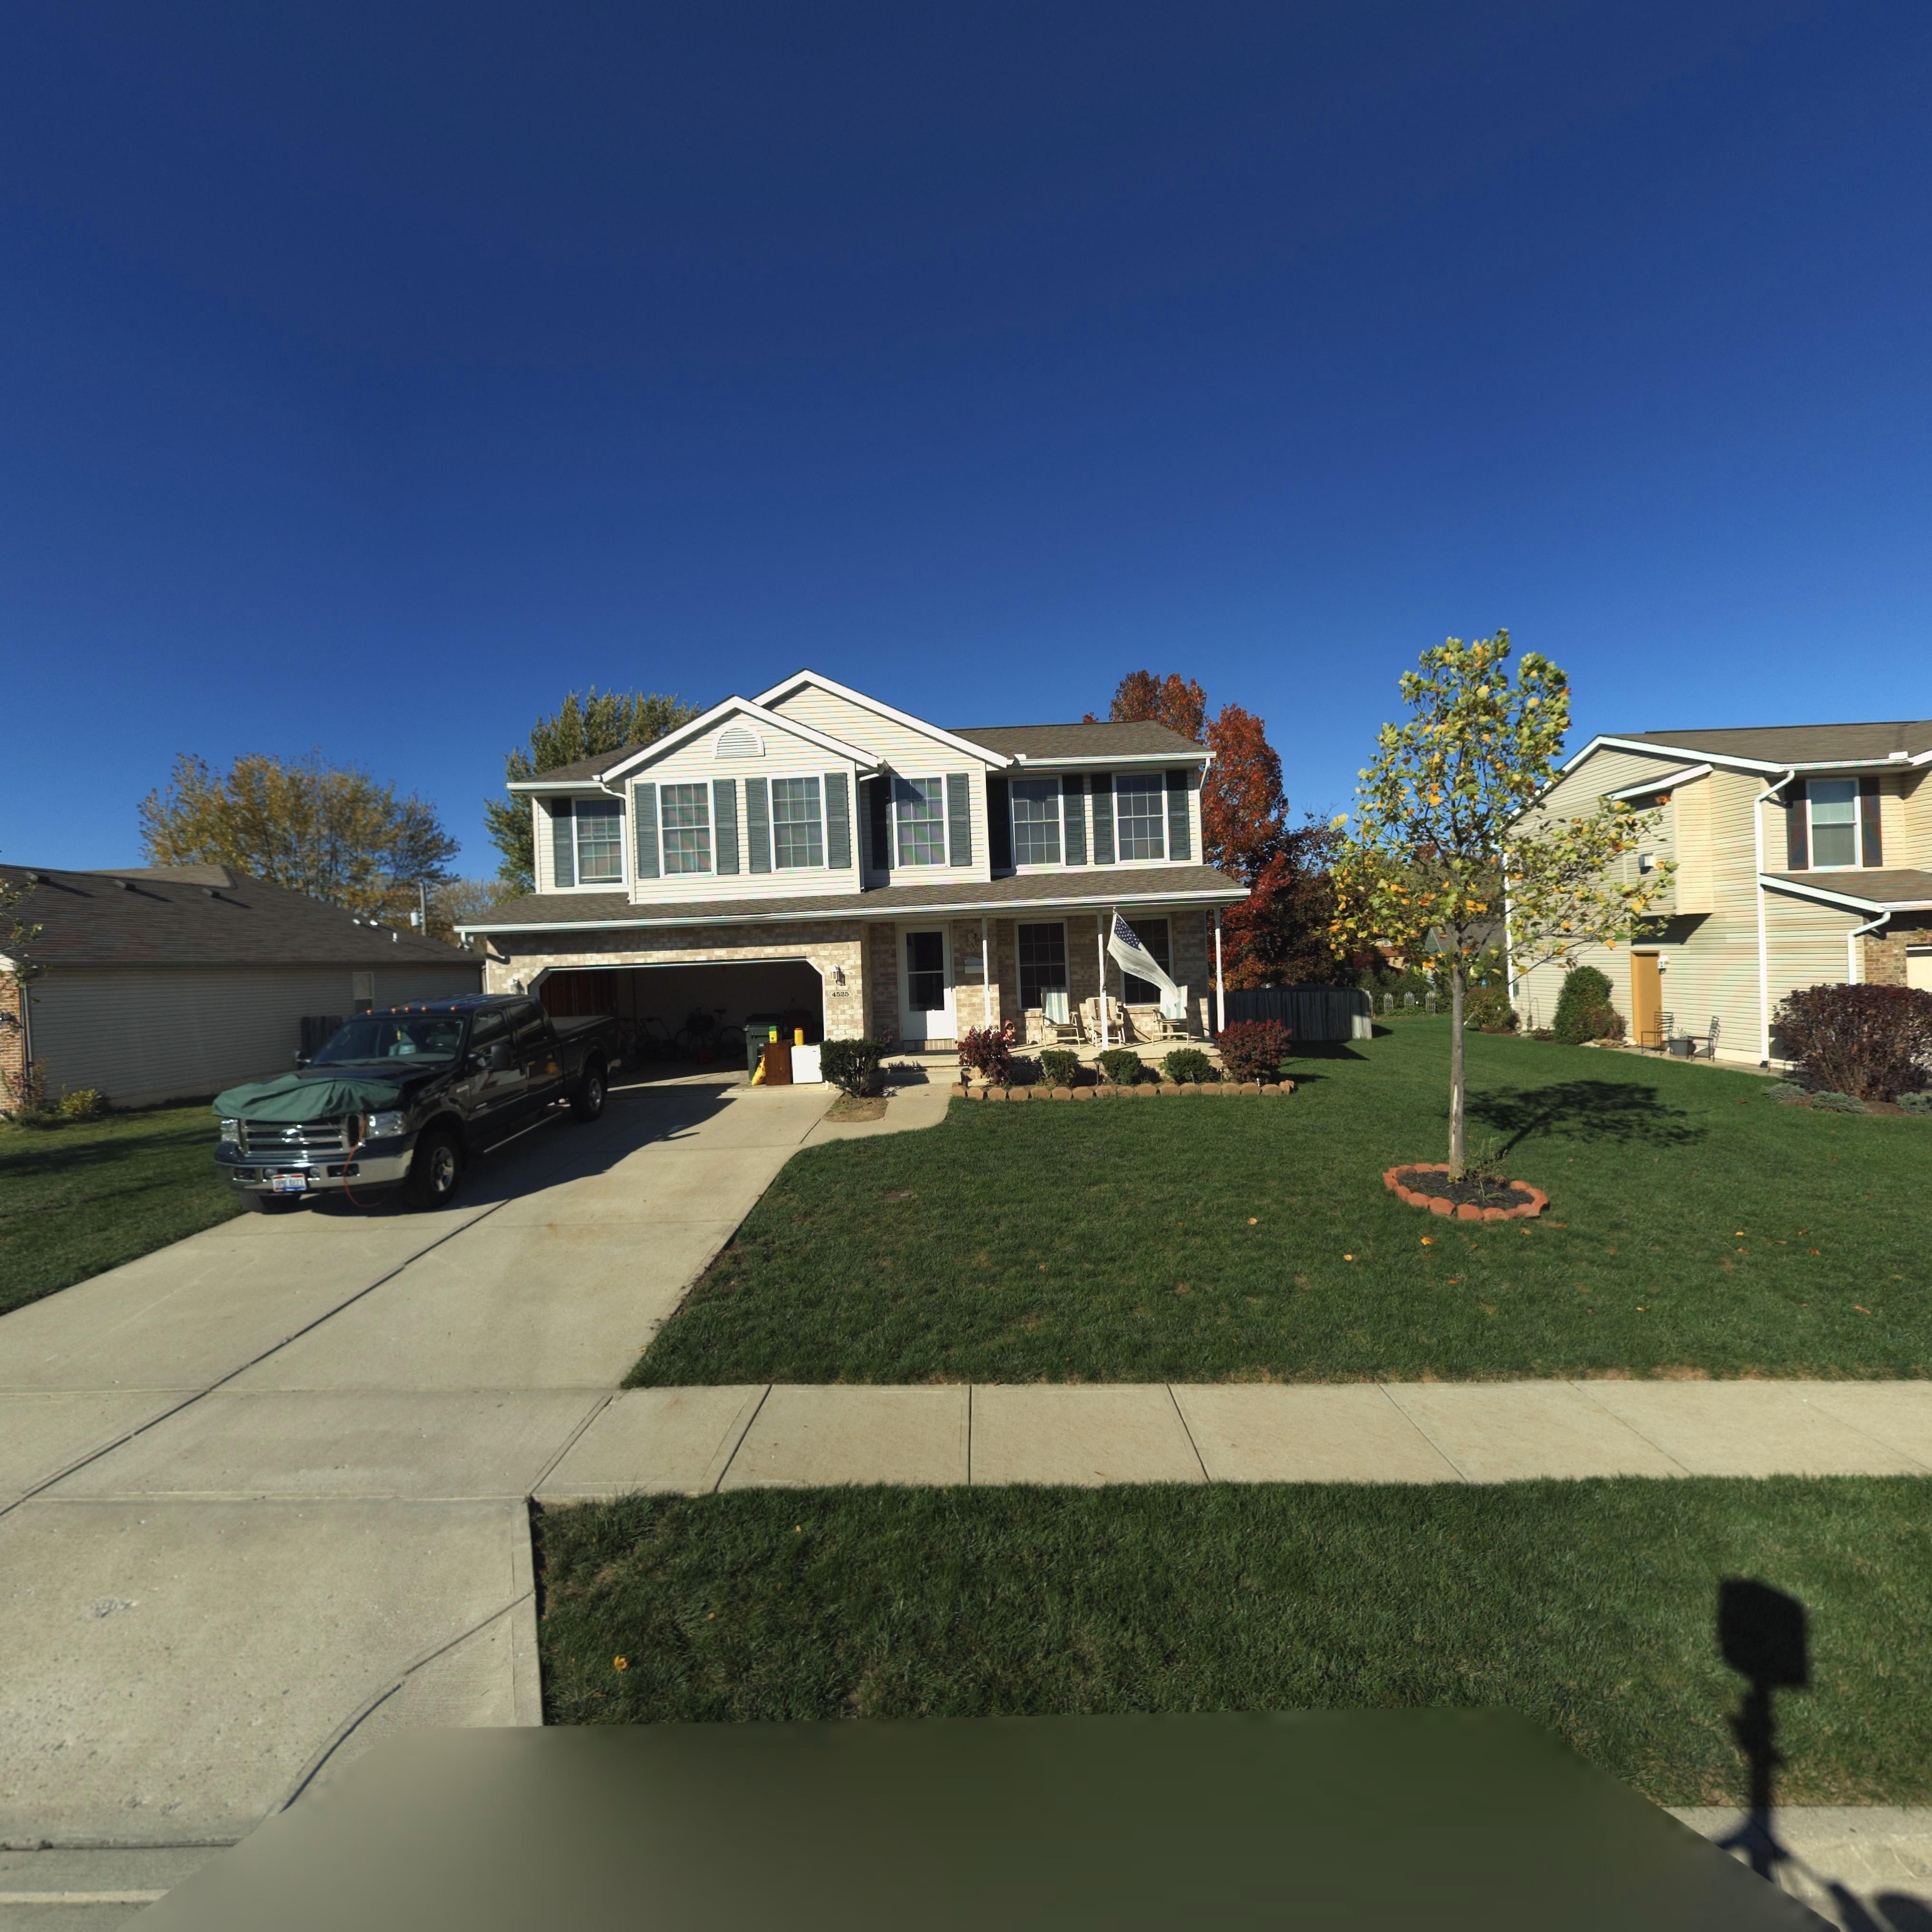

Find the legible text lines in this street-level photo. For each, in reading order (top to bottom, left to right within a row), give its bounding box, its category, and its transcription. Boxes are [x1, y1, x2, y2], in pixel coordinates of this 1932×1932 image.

[831, 990, 850, 998] StreetNumber: 4525
[273, 1178, 304, 1188] None: OP**4*73